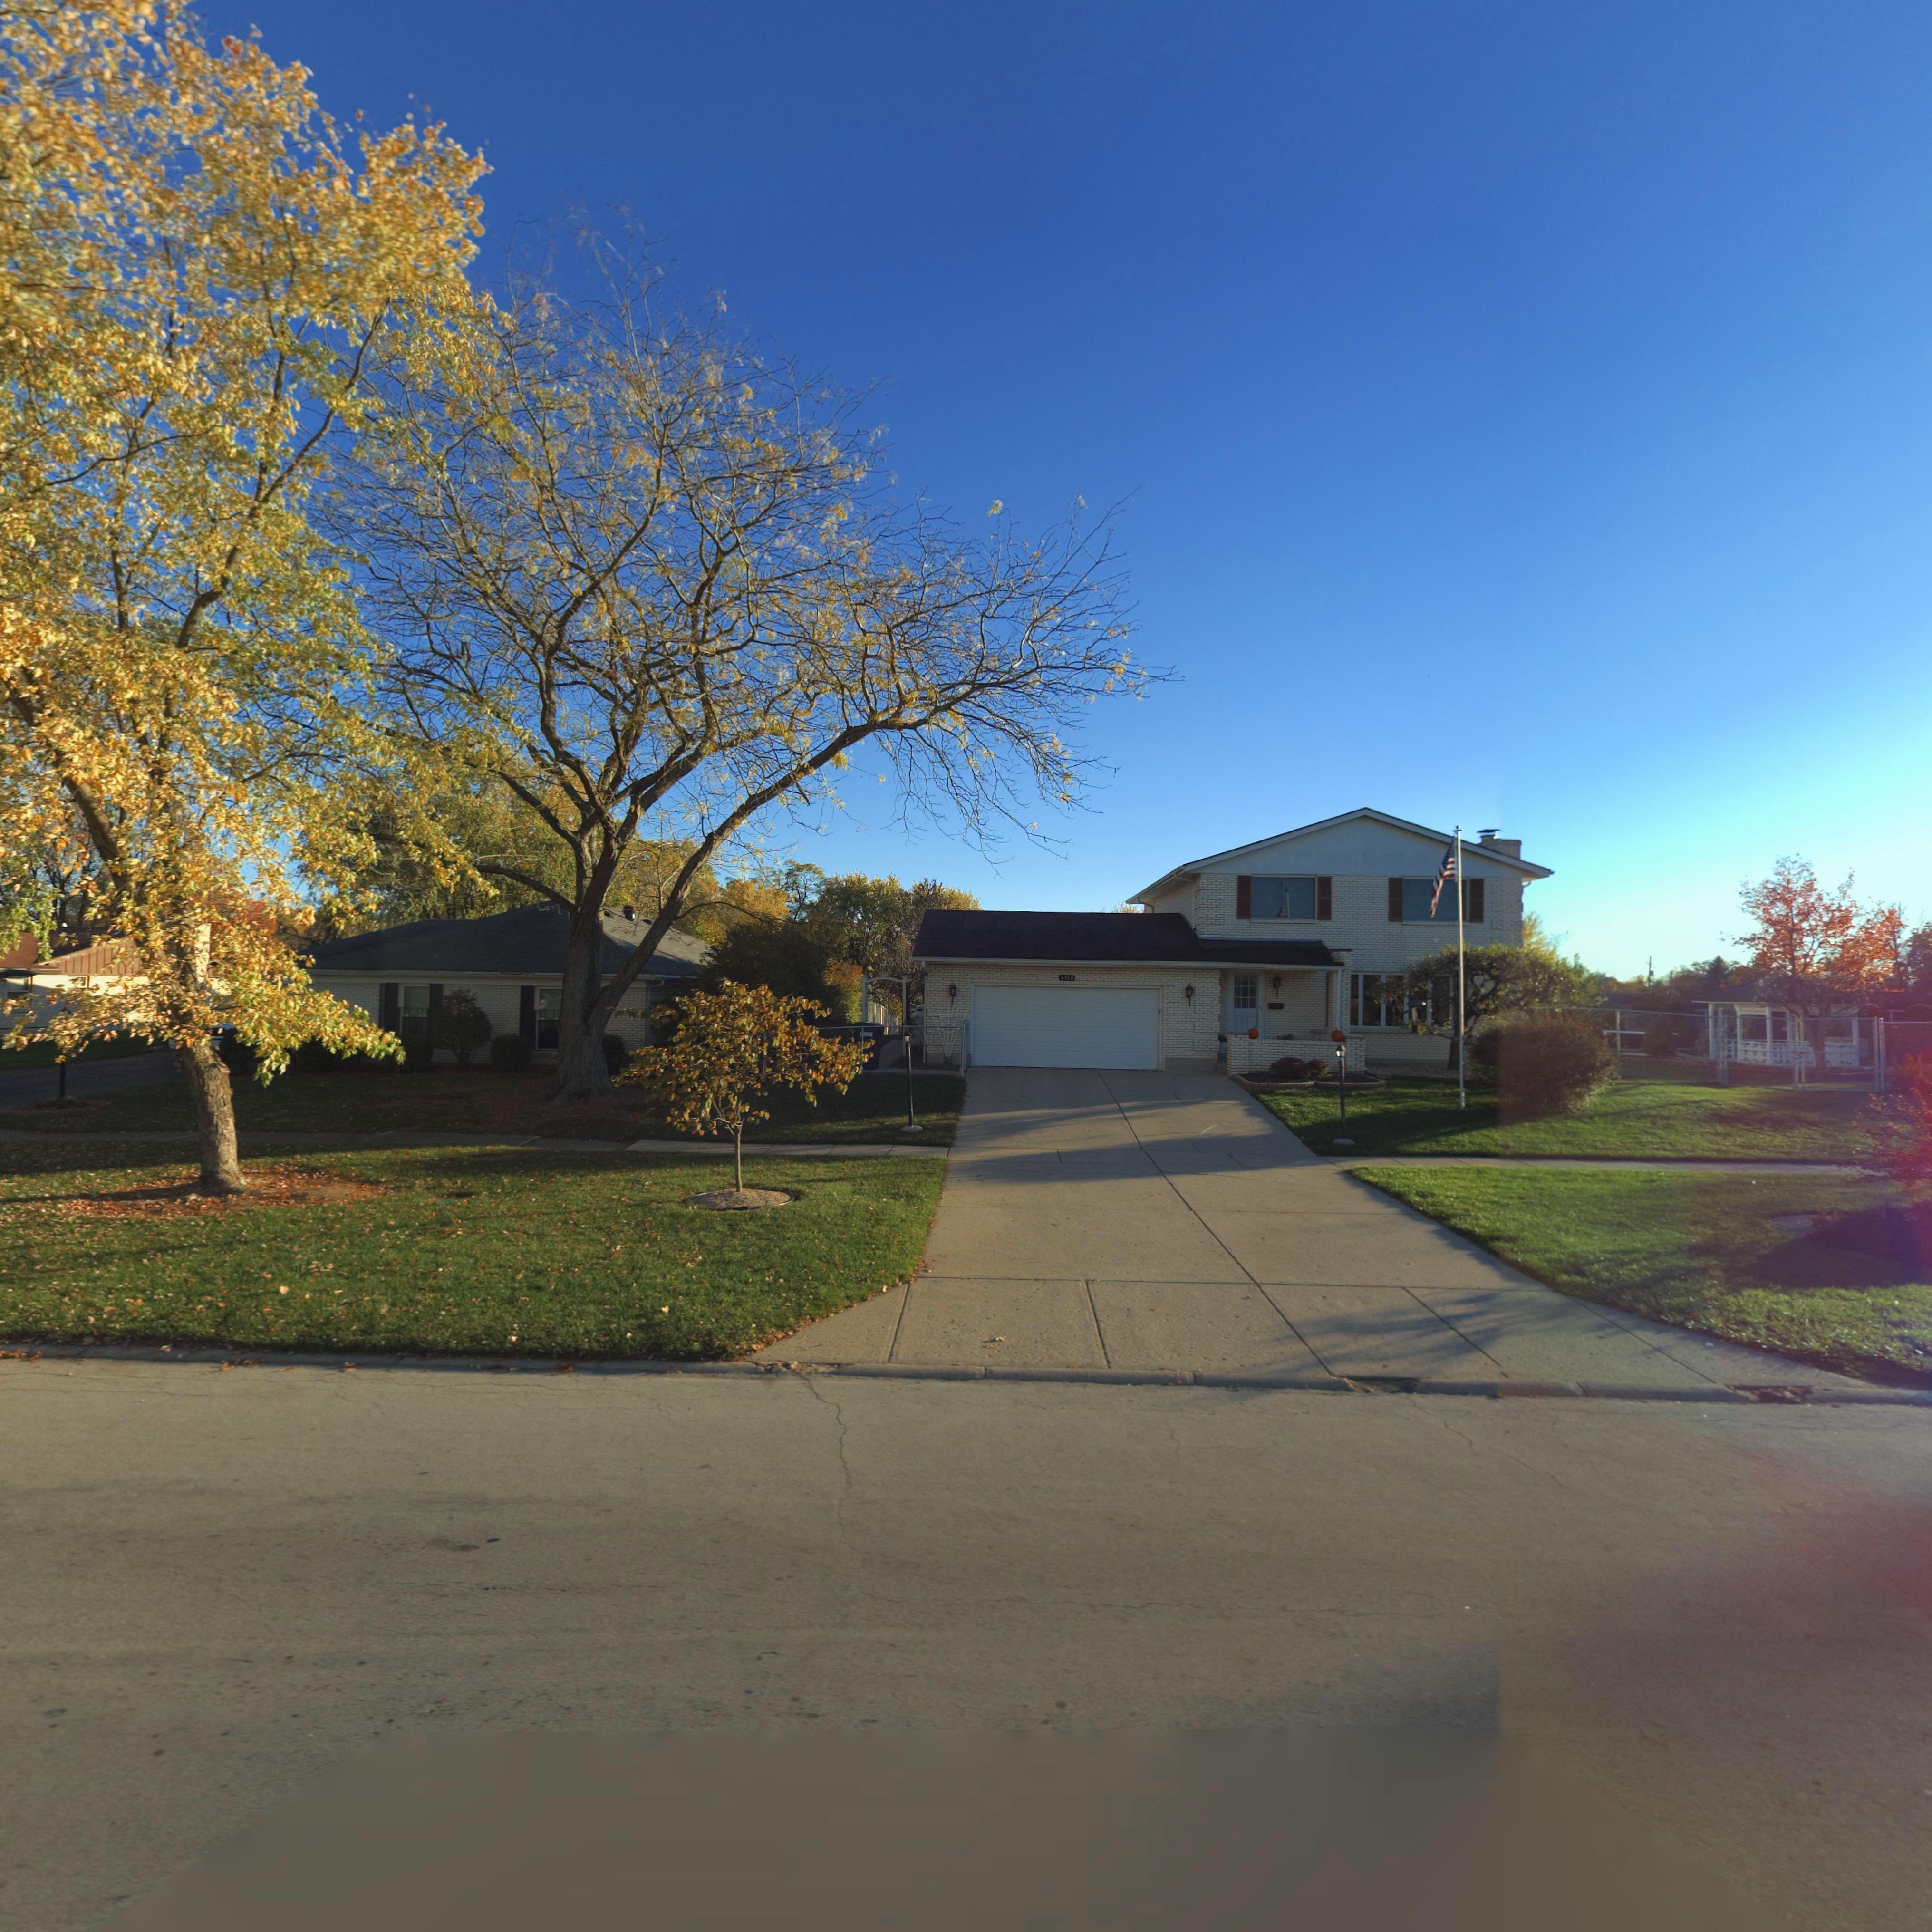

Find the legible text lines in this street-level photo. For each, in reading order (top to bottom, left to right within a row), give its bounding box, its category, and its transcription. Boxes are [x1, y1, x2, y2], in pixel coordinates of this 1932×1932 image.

[1060, 975, 1074, 980] StreetNumber: 4960